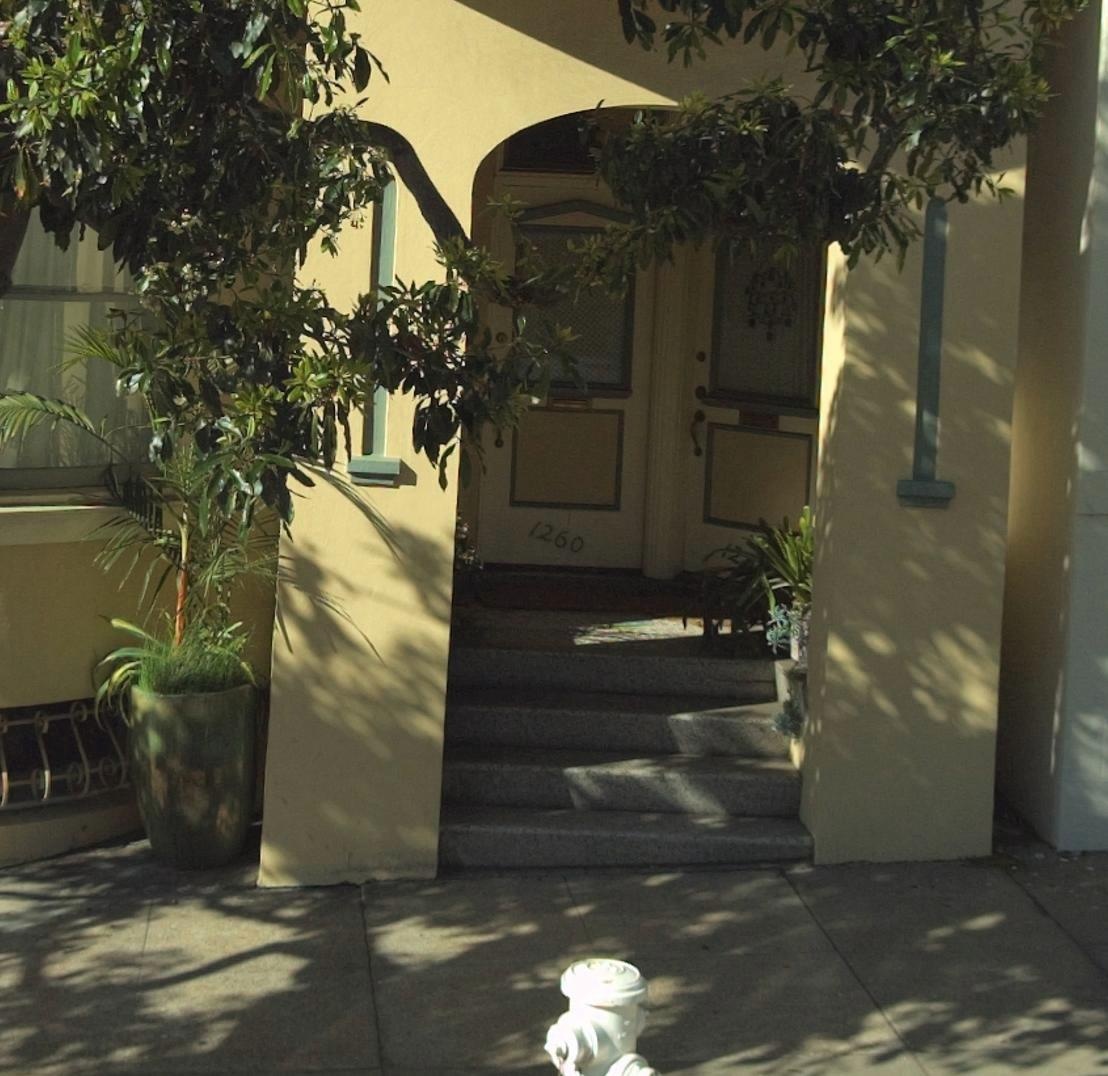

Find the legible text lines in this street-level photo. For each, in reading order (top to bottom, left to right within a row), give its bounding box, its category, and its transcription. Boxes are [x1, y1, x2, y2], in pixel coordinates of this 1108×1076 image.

[524, 518, 585, 556] StreetNumber: 1260